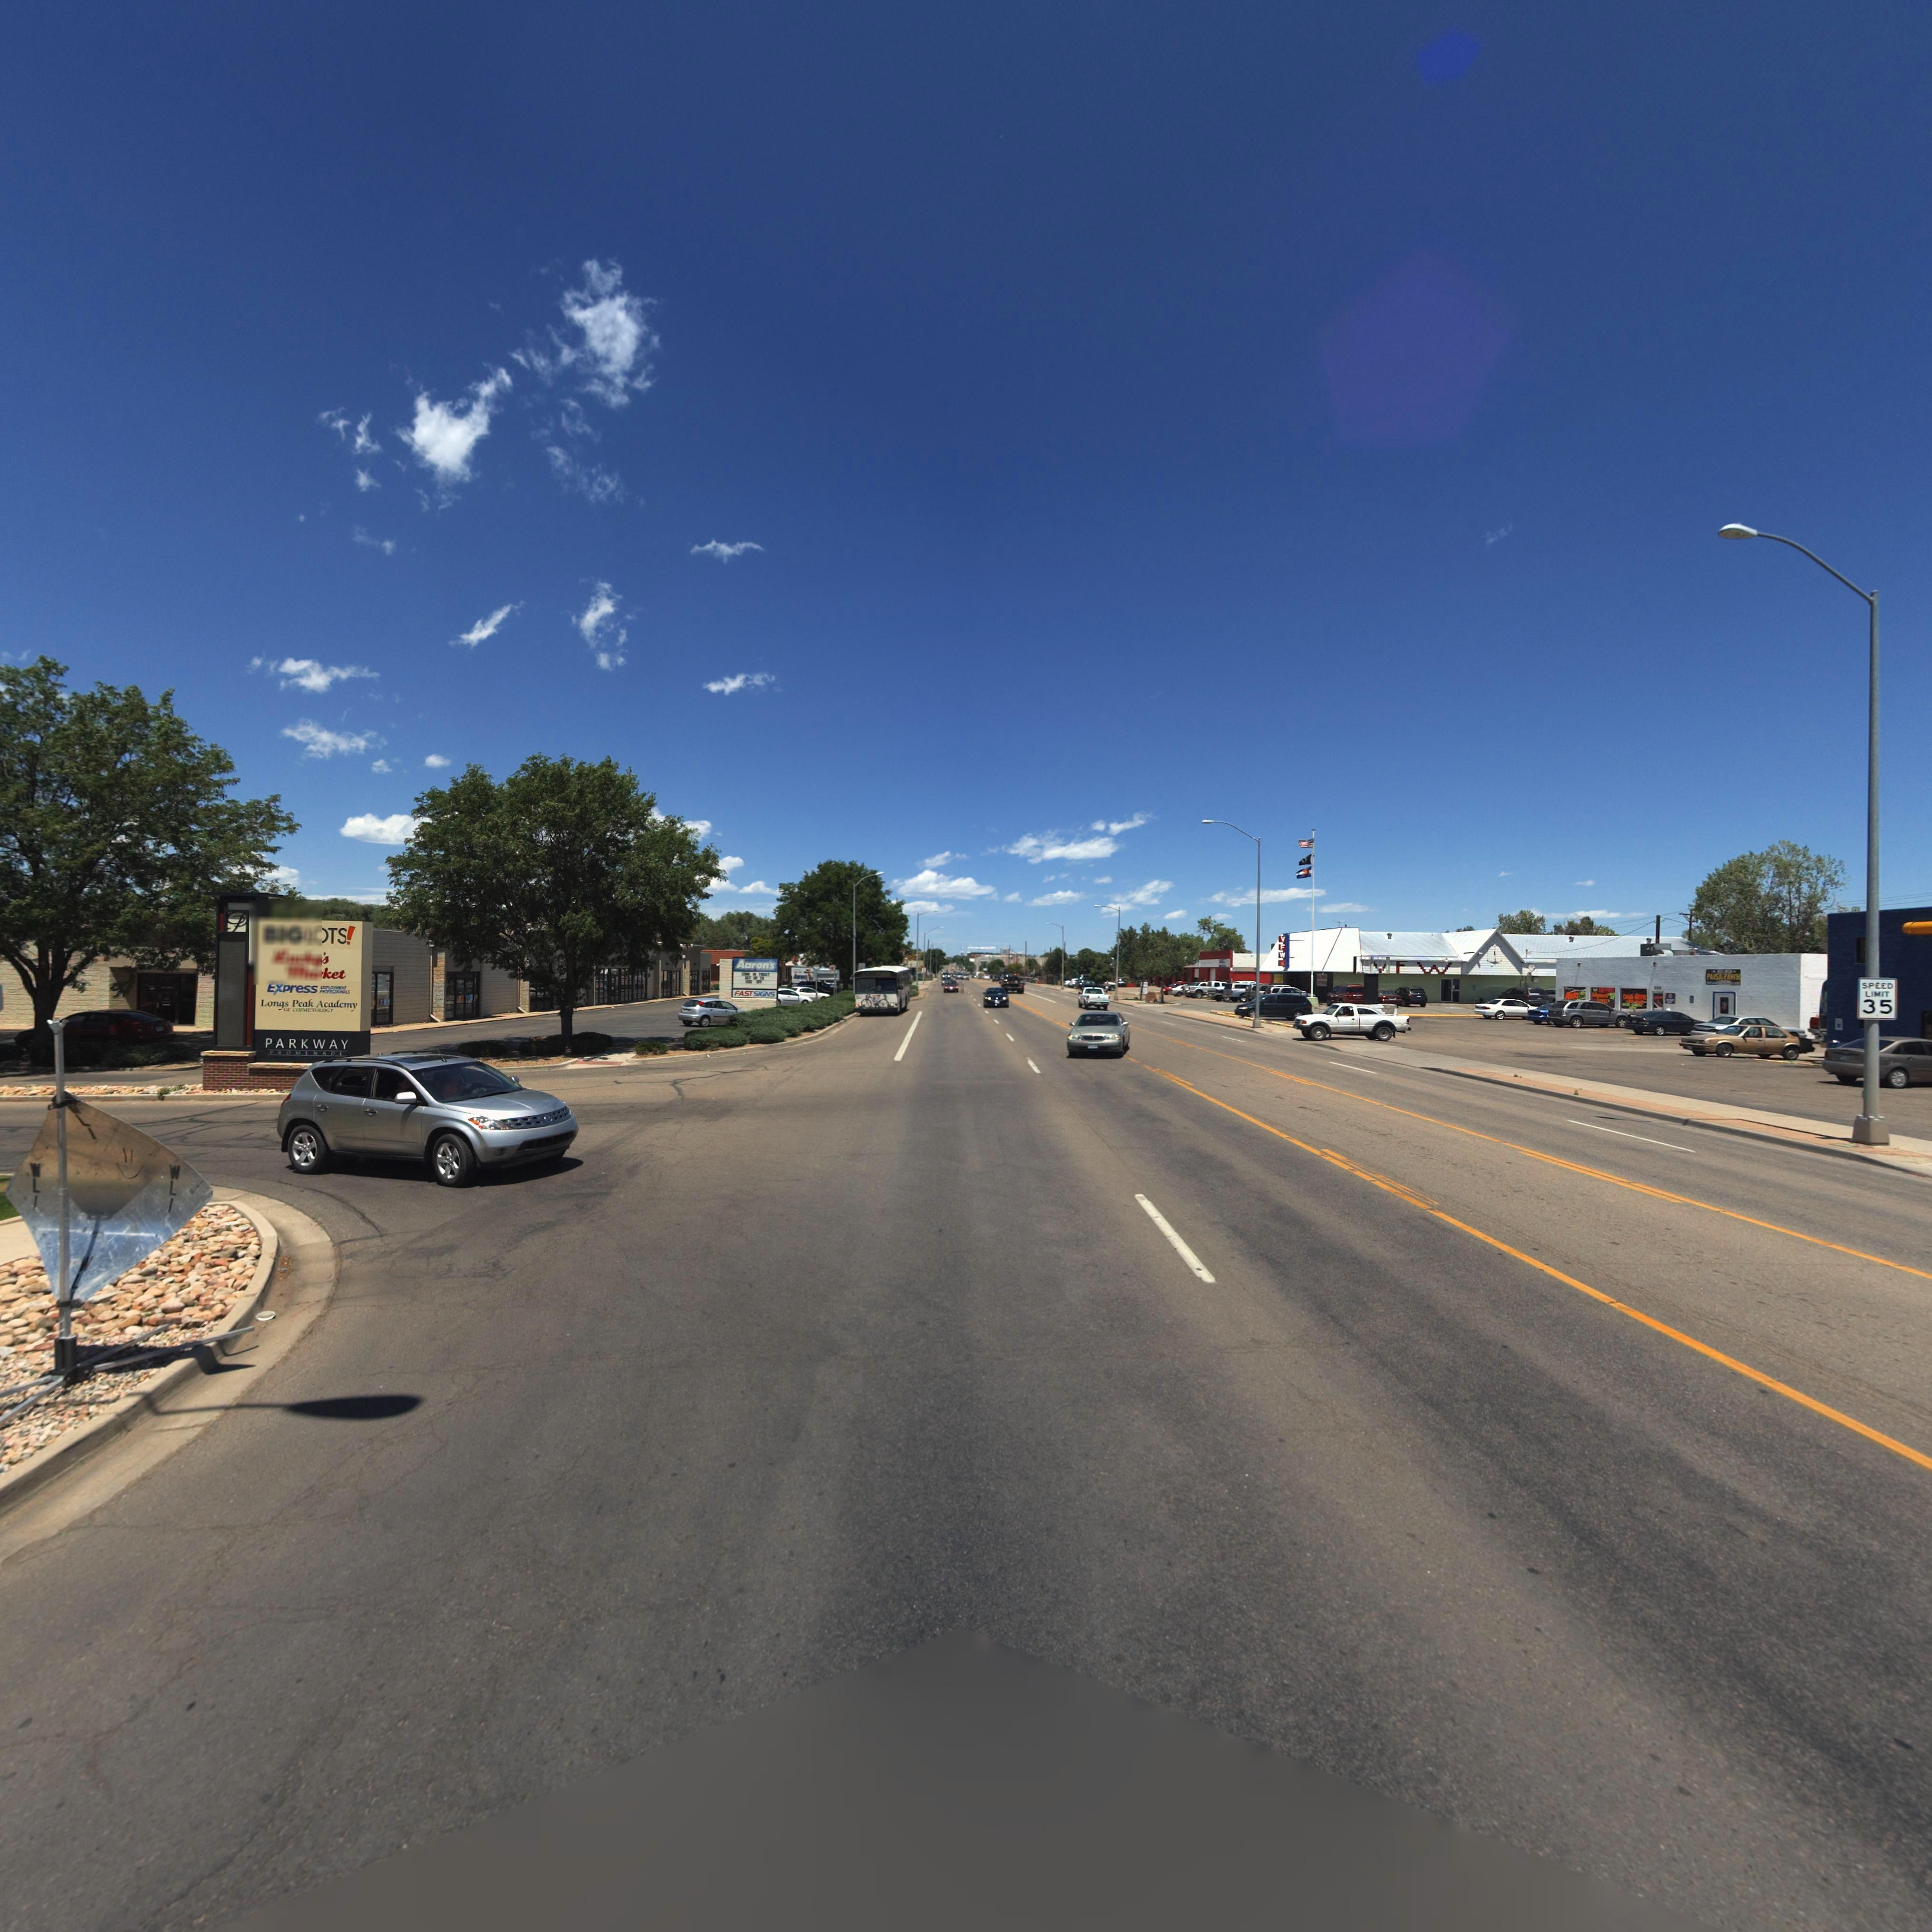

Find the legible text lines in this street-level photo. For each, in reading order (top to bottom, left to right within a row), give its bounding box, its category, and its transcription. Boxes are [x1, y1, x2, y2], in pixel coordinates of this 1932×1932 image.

[262, 925, 348, 944] BusinessName: BIG LOTS
[1279, 936, 1286, 958] BusinessName: VFW
[271, 949, 329, 968] BusinessName: Lucky's
[285, 965, 347, 979] BusinessName: Market
[735, 959, 775, 969] BusinessName: Aaron's
[1371, 960, 1454, 975] BusinessName: VFW
[1706, 973, 1740, 980] BusinessName: PAISA PAWN
[1711, 969, 1736, 973] BusinessName: AUTO
[266, 982, 318, 995] BusinessName: EXpress
[319, 985, 348, 990] BusinessName: EMPOYMENT
[319, 989, 350, 994] BusinessName: PROFESIONALS
[734, 990, 775, 996] BusinessName: FASTSIGNS
[259, 998, 358, 1012] BusinessName: Longs Peak Academy
[283, 1007, 334, 1013] BusinessName: OF COSMETOLOGY